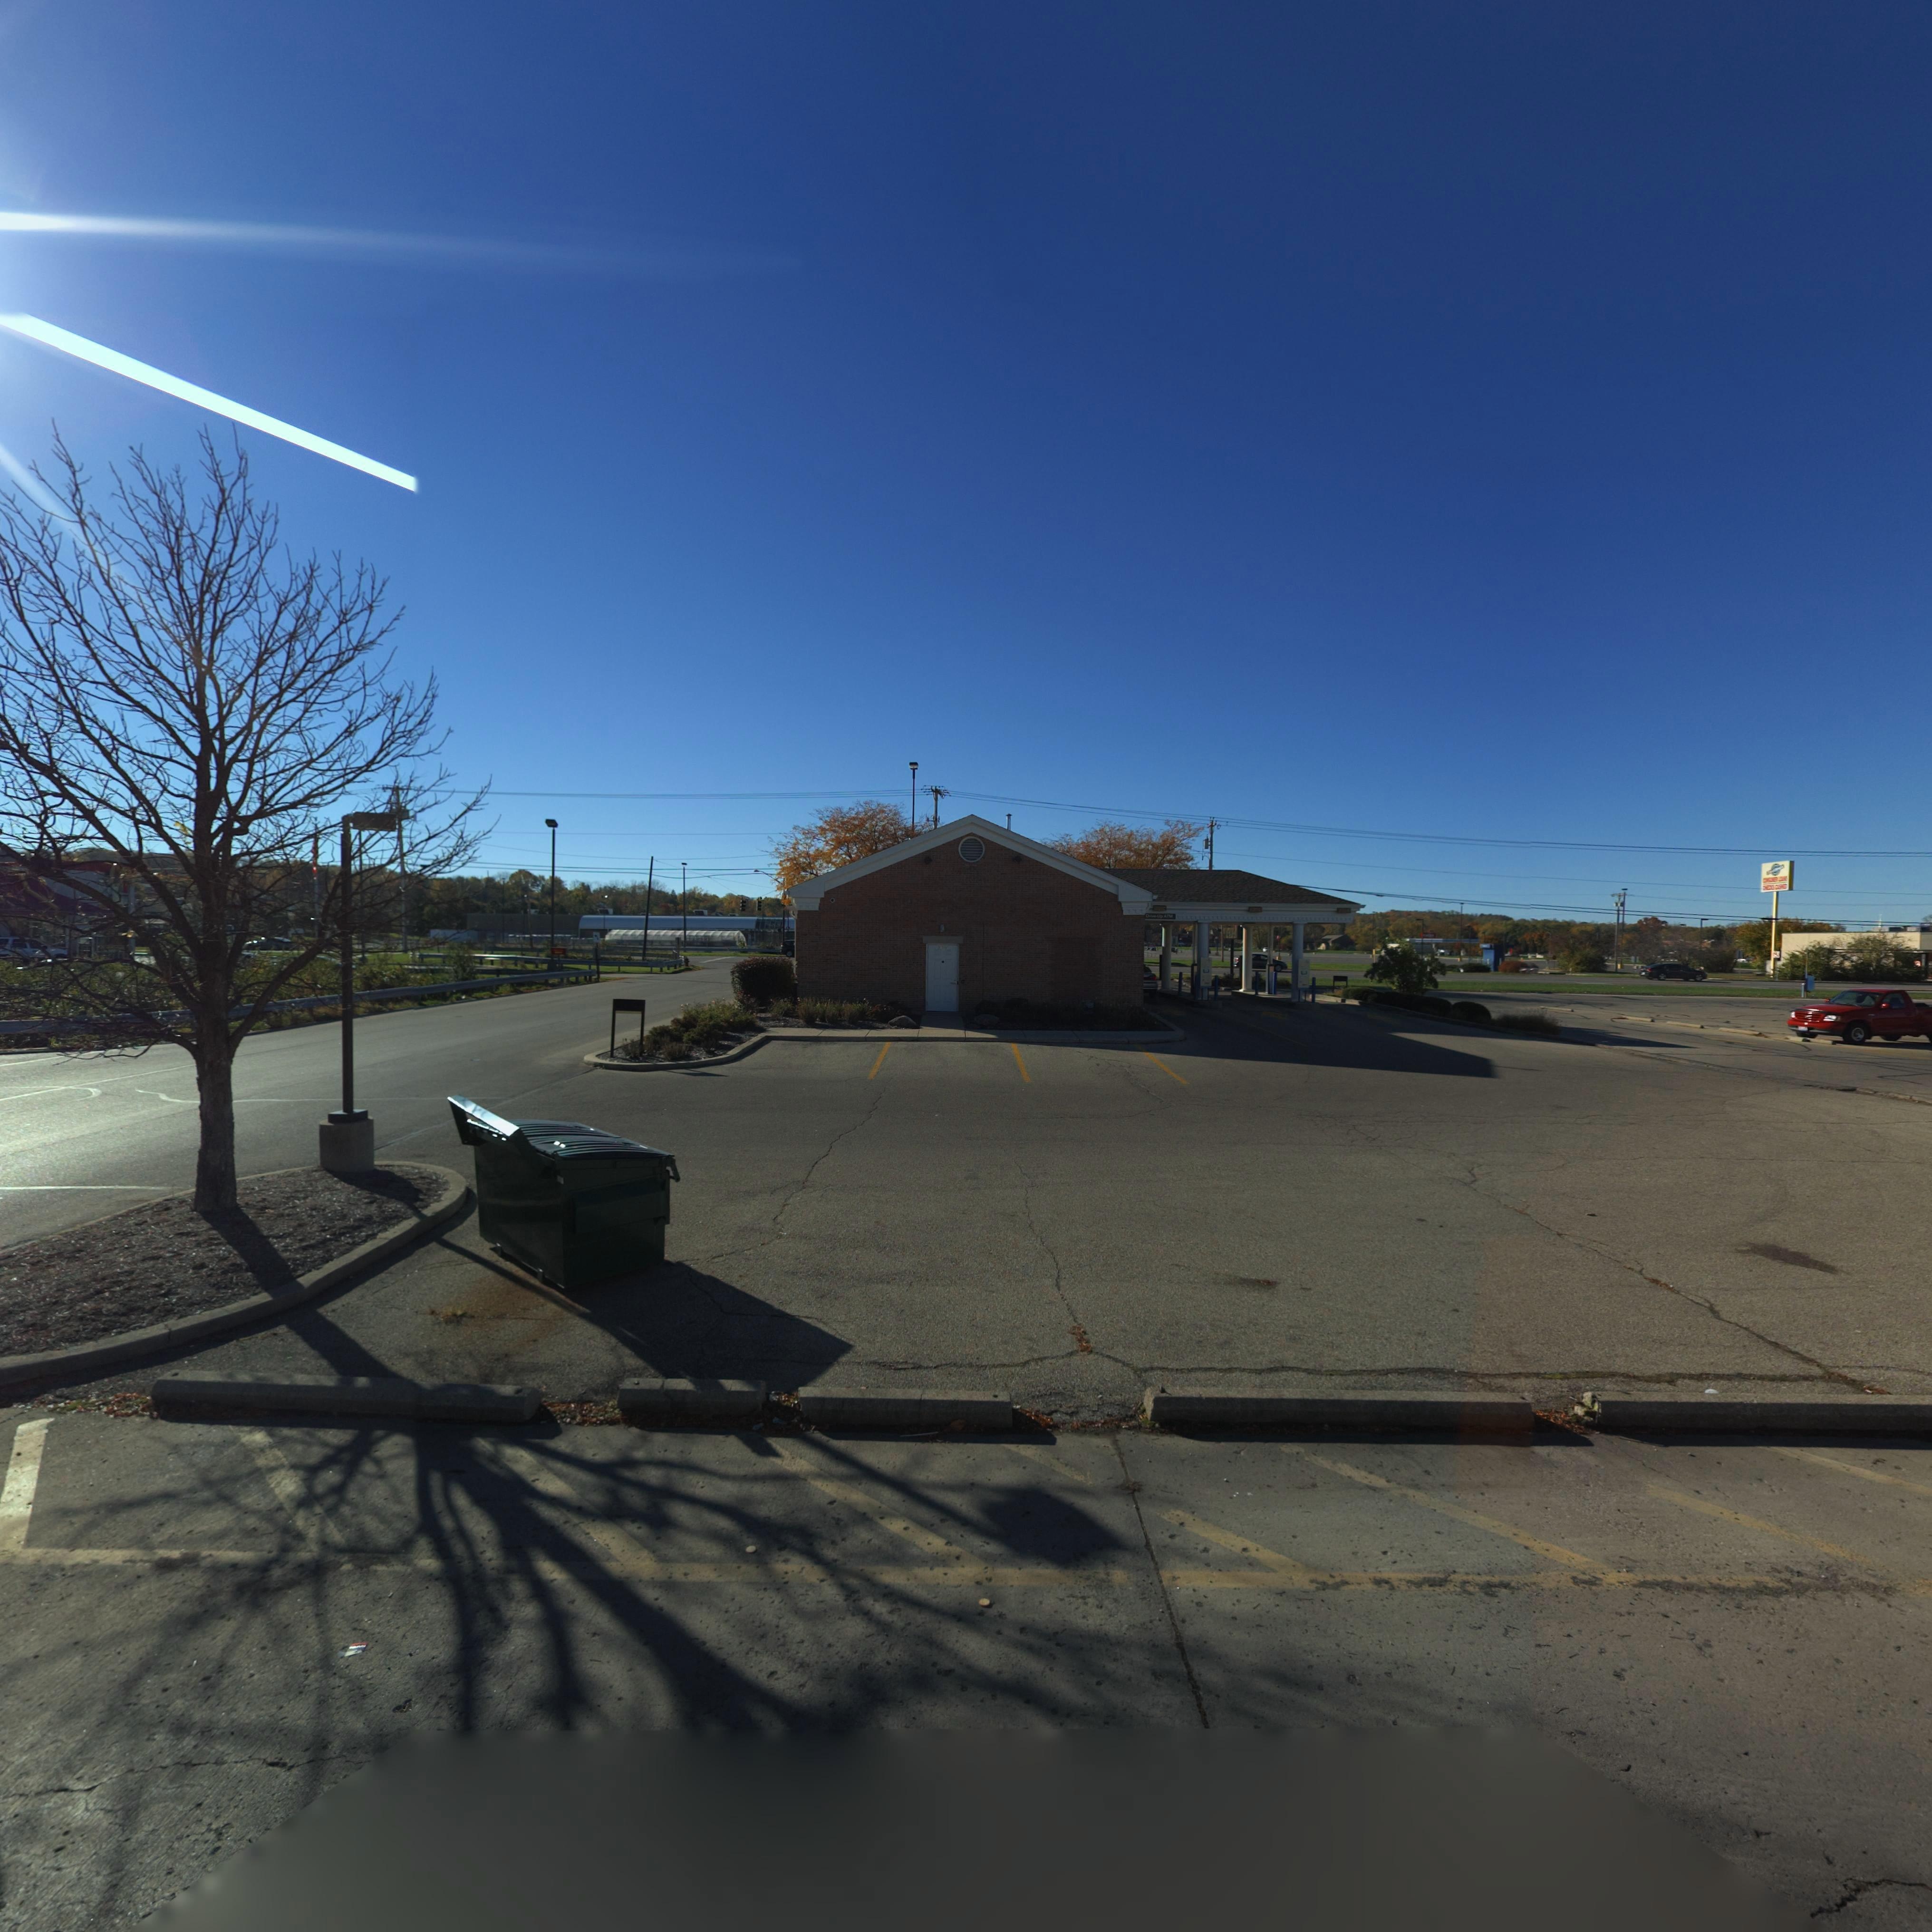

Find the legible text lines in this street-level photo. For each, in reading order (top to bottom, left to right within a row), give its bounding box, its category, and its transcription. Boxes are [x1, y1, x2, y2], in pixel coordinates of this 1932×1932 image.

[937, 946, 949, 950] StreetNumber: 2***